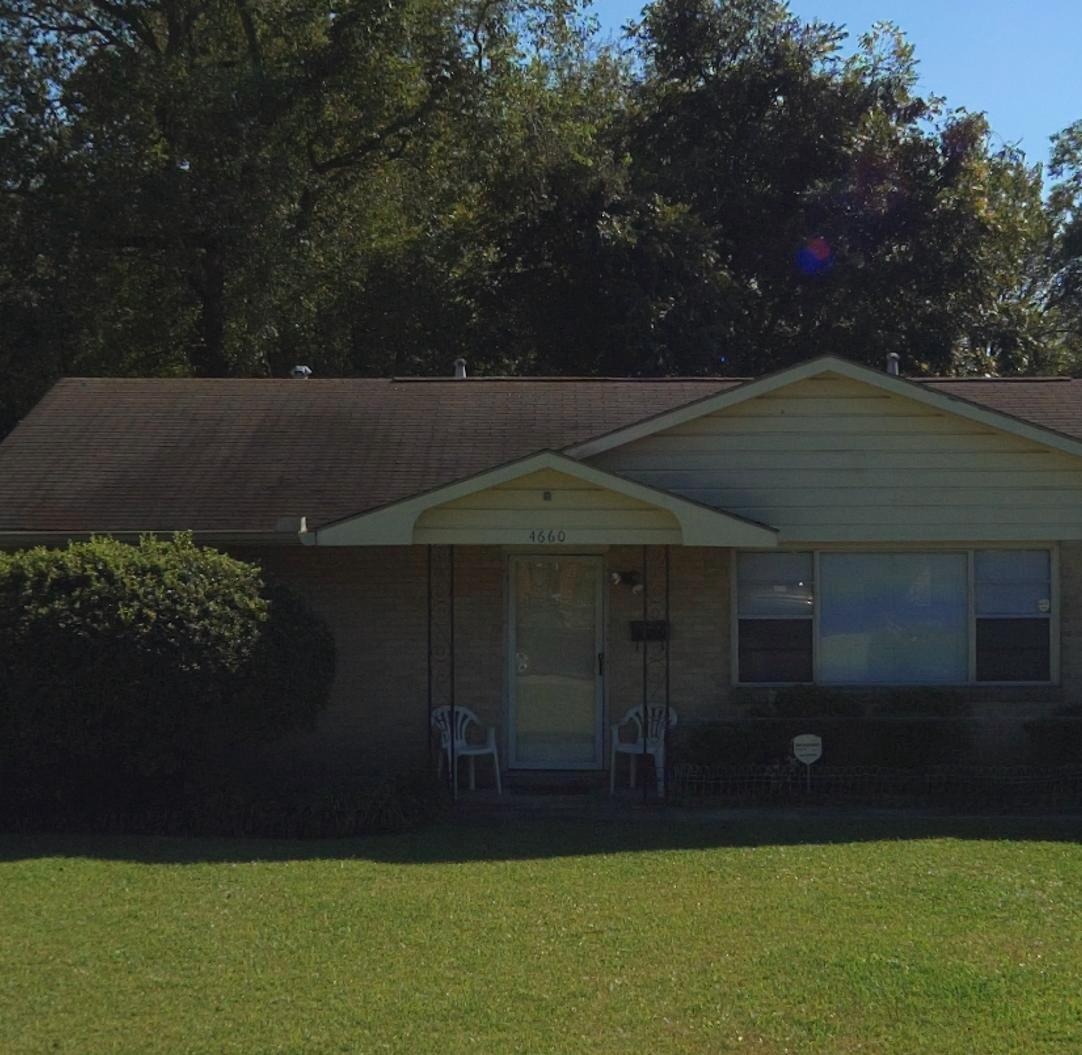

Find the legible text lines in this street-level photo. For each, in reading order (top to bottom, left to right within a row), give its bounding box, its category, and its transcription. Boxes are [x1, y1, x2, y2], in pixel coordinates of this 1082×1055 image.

[529, 529, 566, 544] StreetNumber: 4660